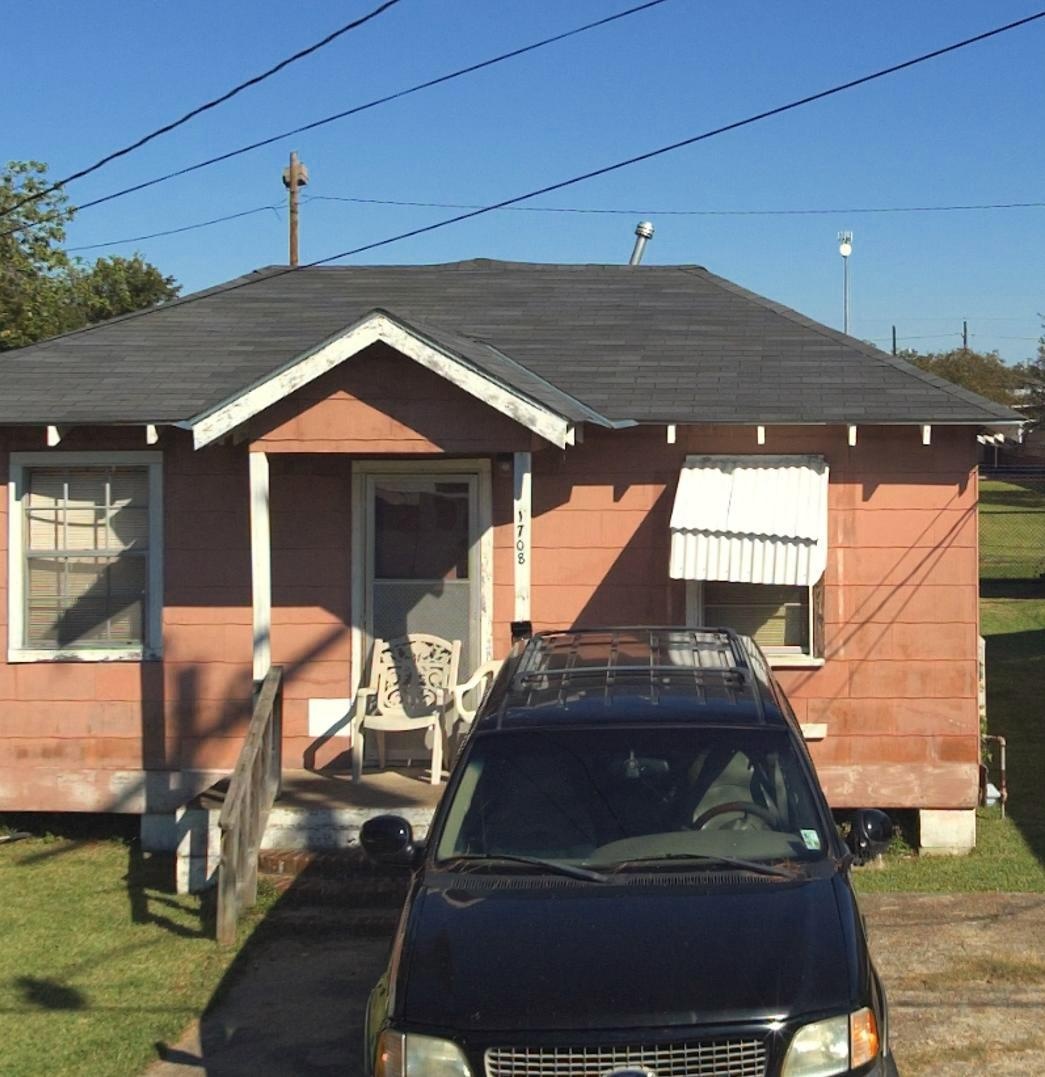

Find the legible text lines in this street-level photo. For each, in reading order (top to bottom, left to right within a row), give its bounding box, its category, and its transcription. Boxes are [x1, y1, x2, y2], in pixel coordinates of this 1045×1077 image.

[515, 509, 527, 566] StreetNumber: 1708